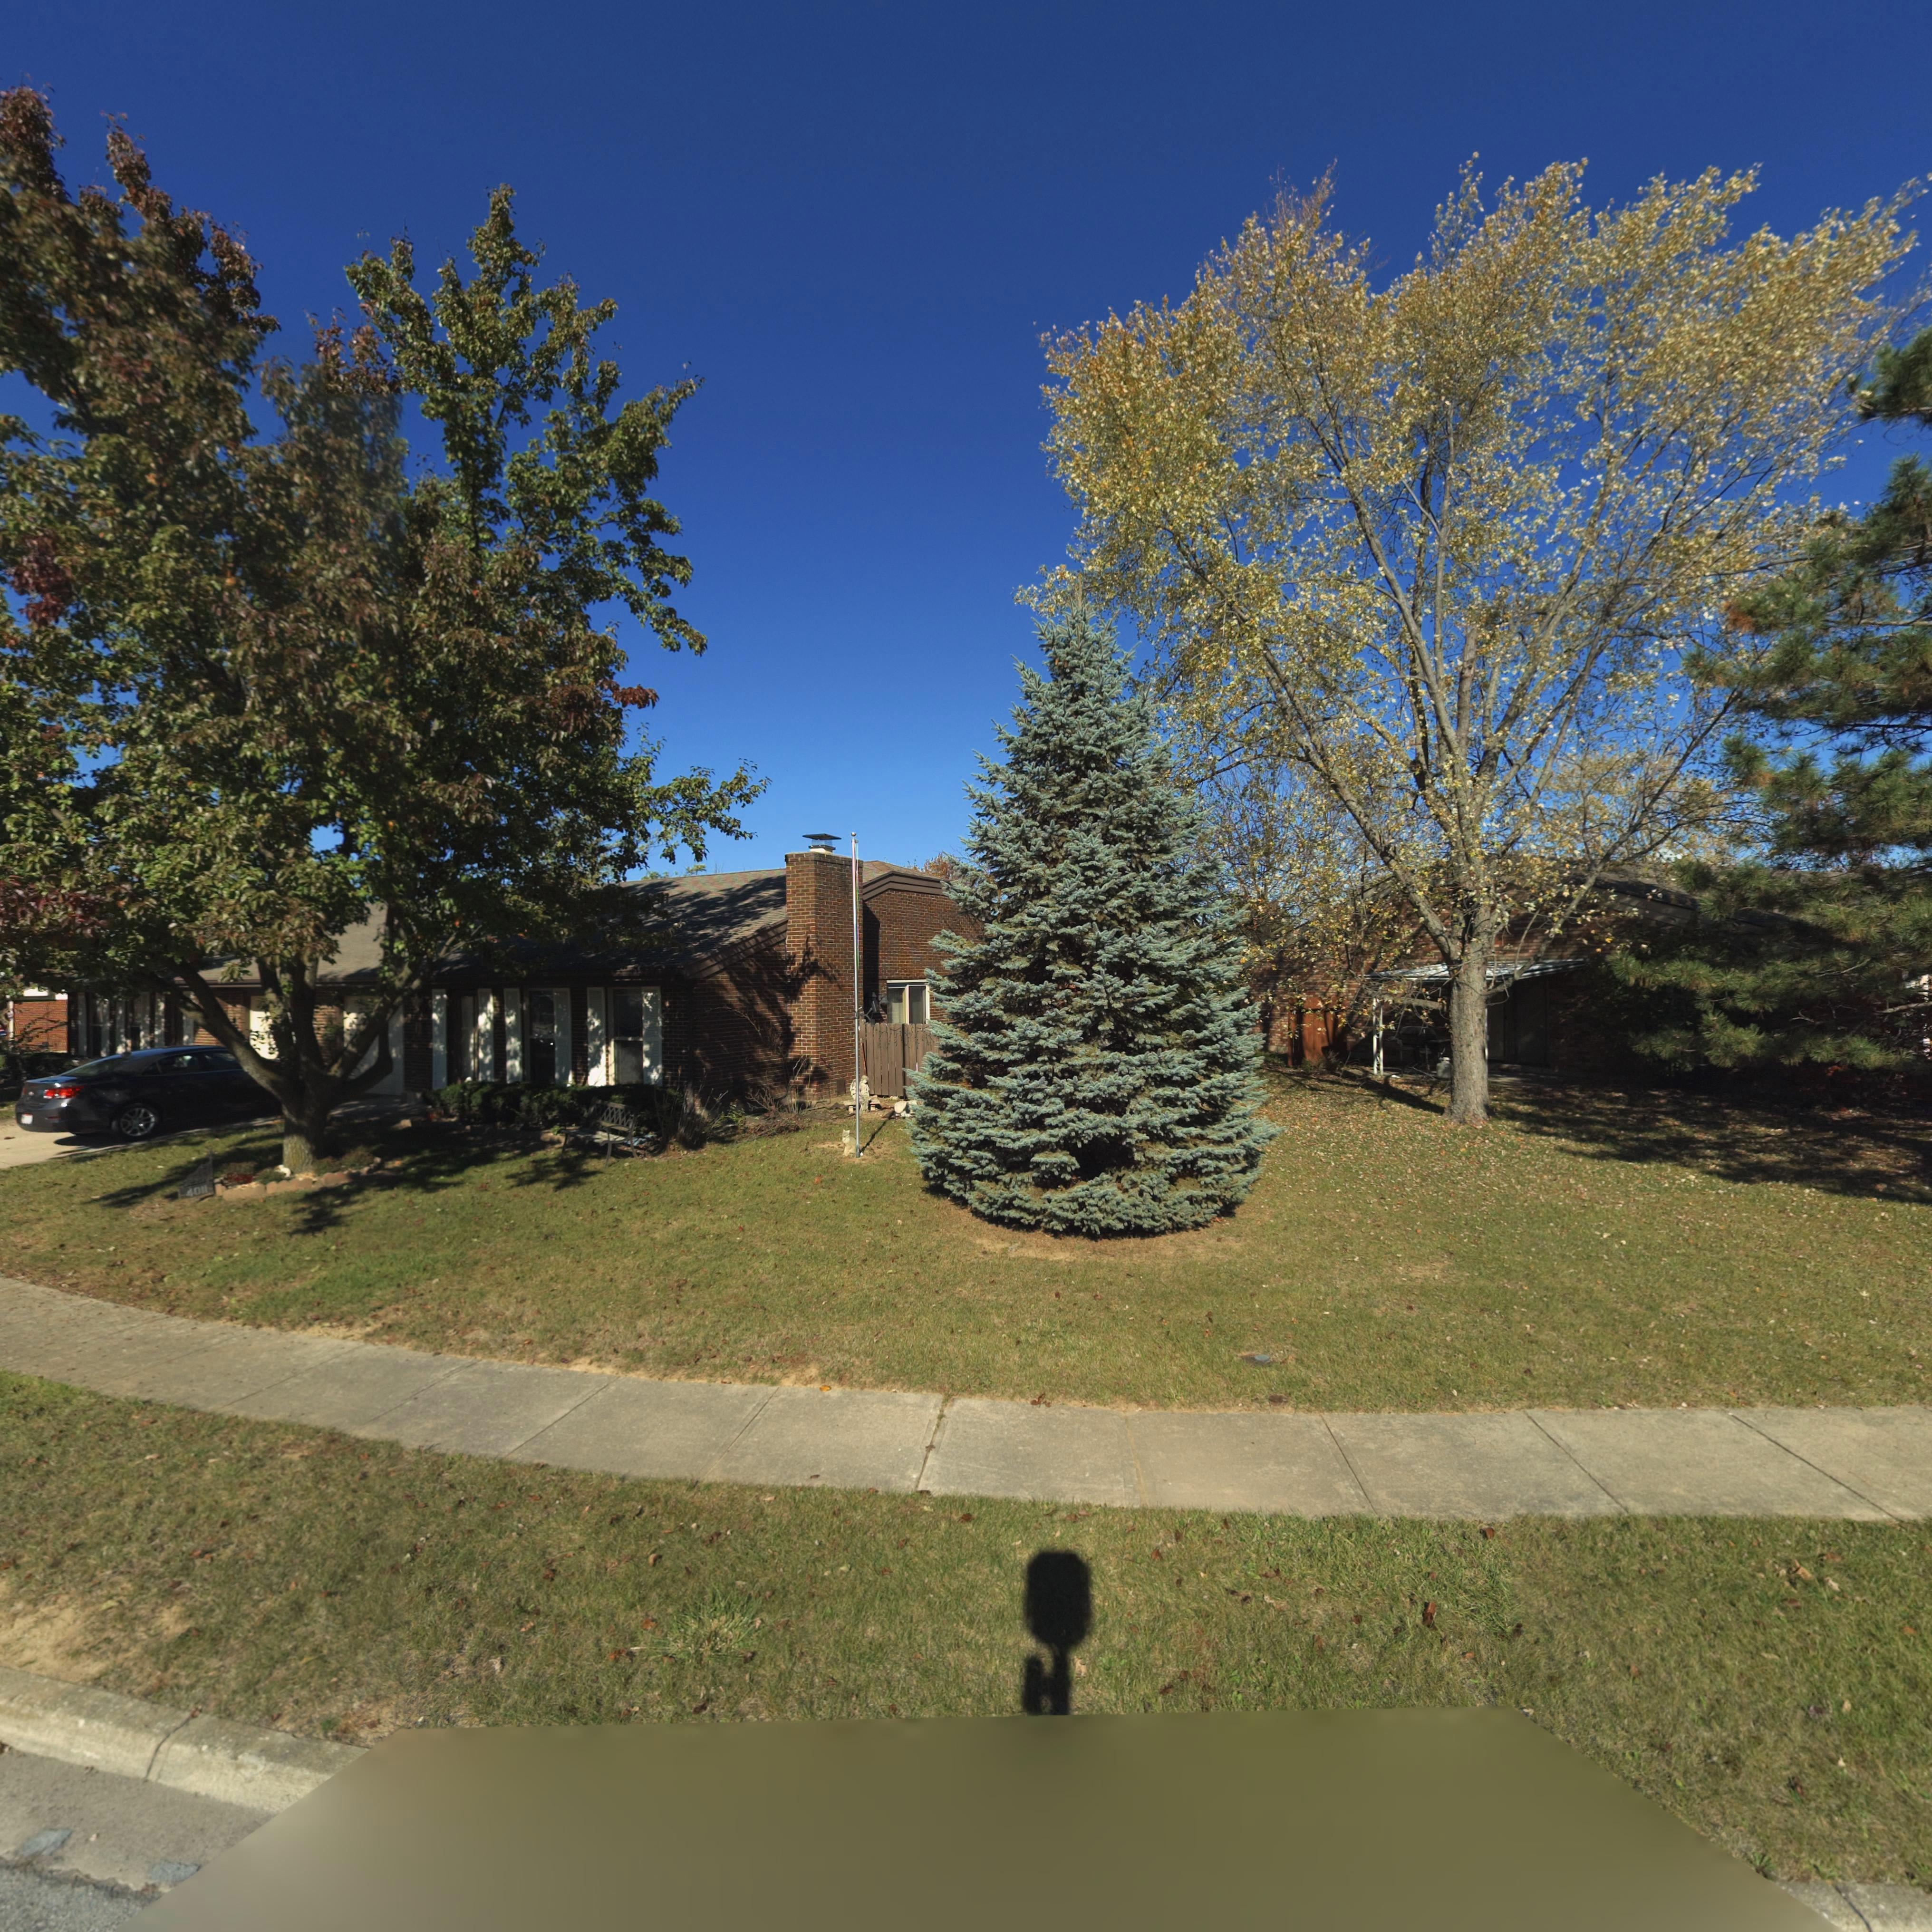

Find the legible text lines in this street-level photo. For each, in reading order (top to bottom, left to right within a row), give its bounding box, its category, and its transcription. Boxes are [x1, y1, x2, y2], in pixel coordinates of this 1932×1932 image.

[184, 1184, 209, 1198] StreetNumber: 4011